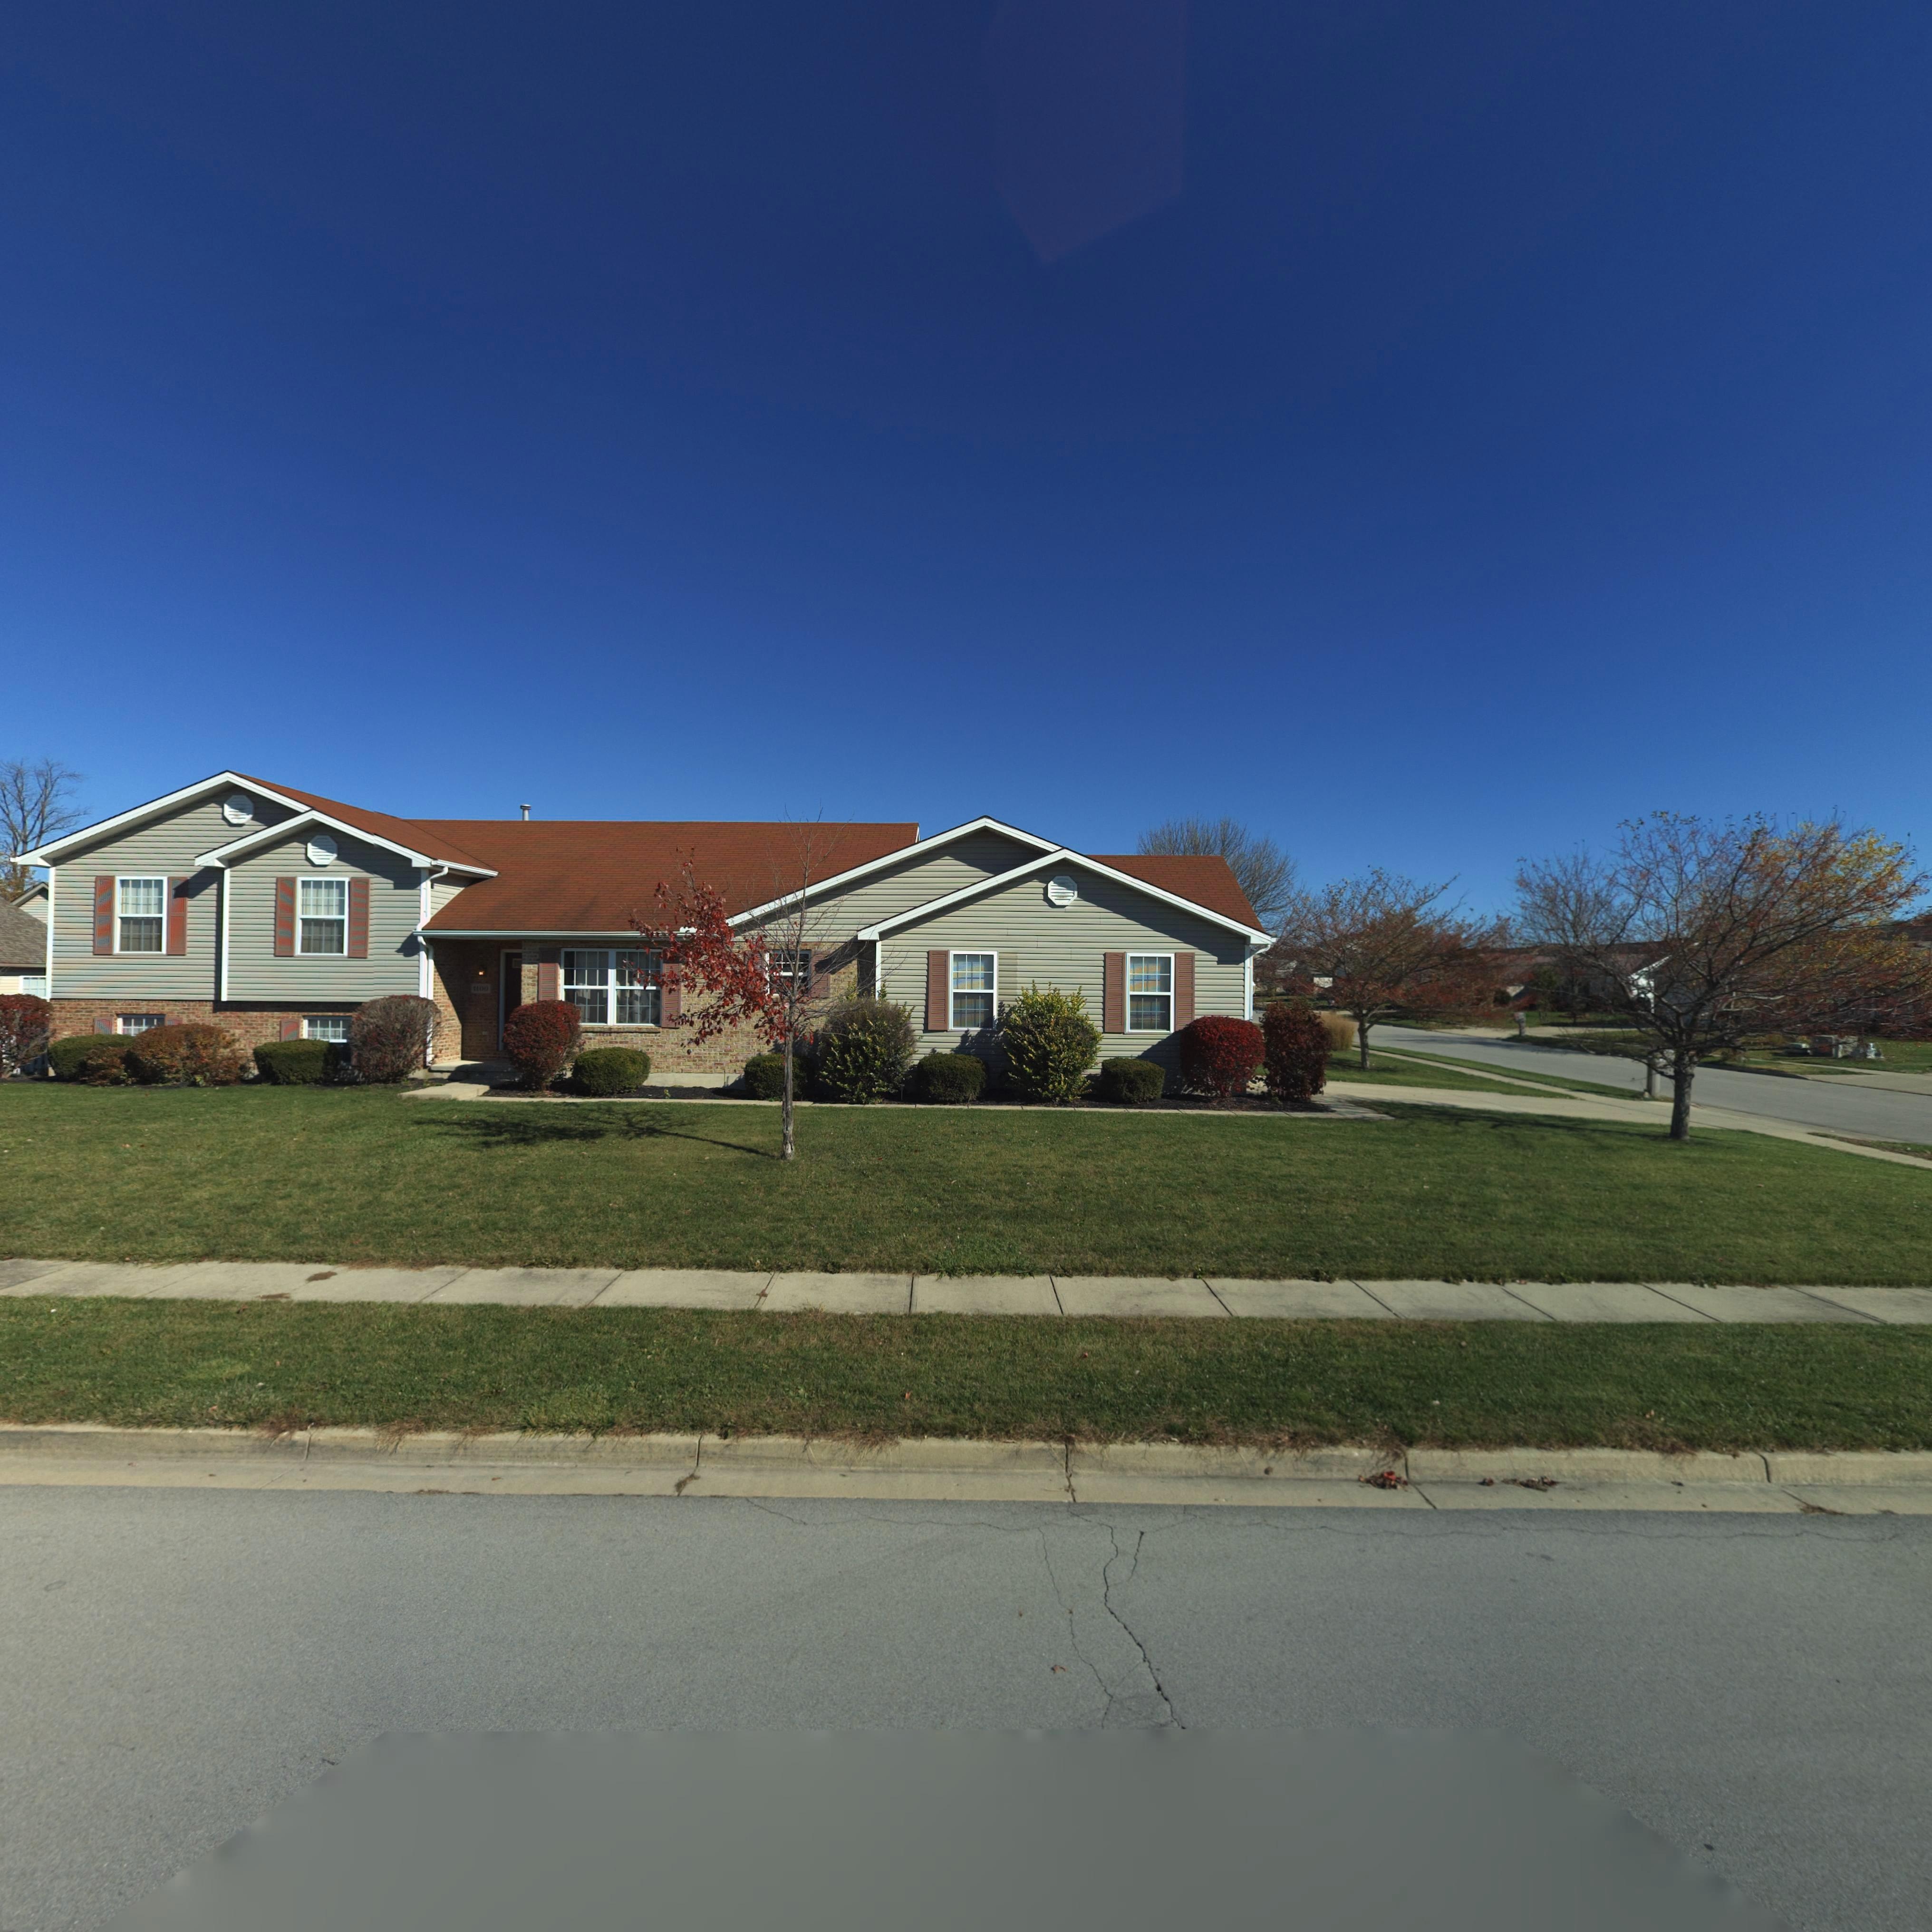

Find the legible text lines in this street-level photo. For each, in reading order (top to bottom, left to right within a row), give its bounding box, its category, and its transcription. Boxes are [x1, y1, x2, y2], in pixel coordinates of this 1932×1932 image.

[472, 985, 489, 992] StreetNumber: 1100